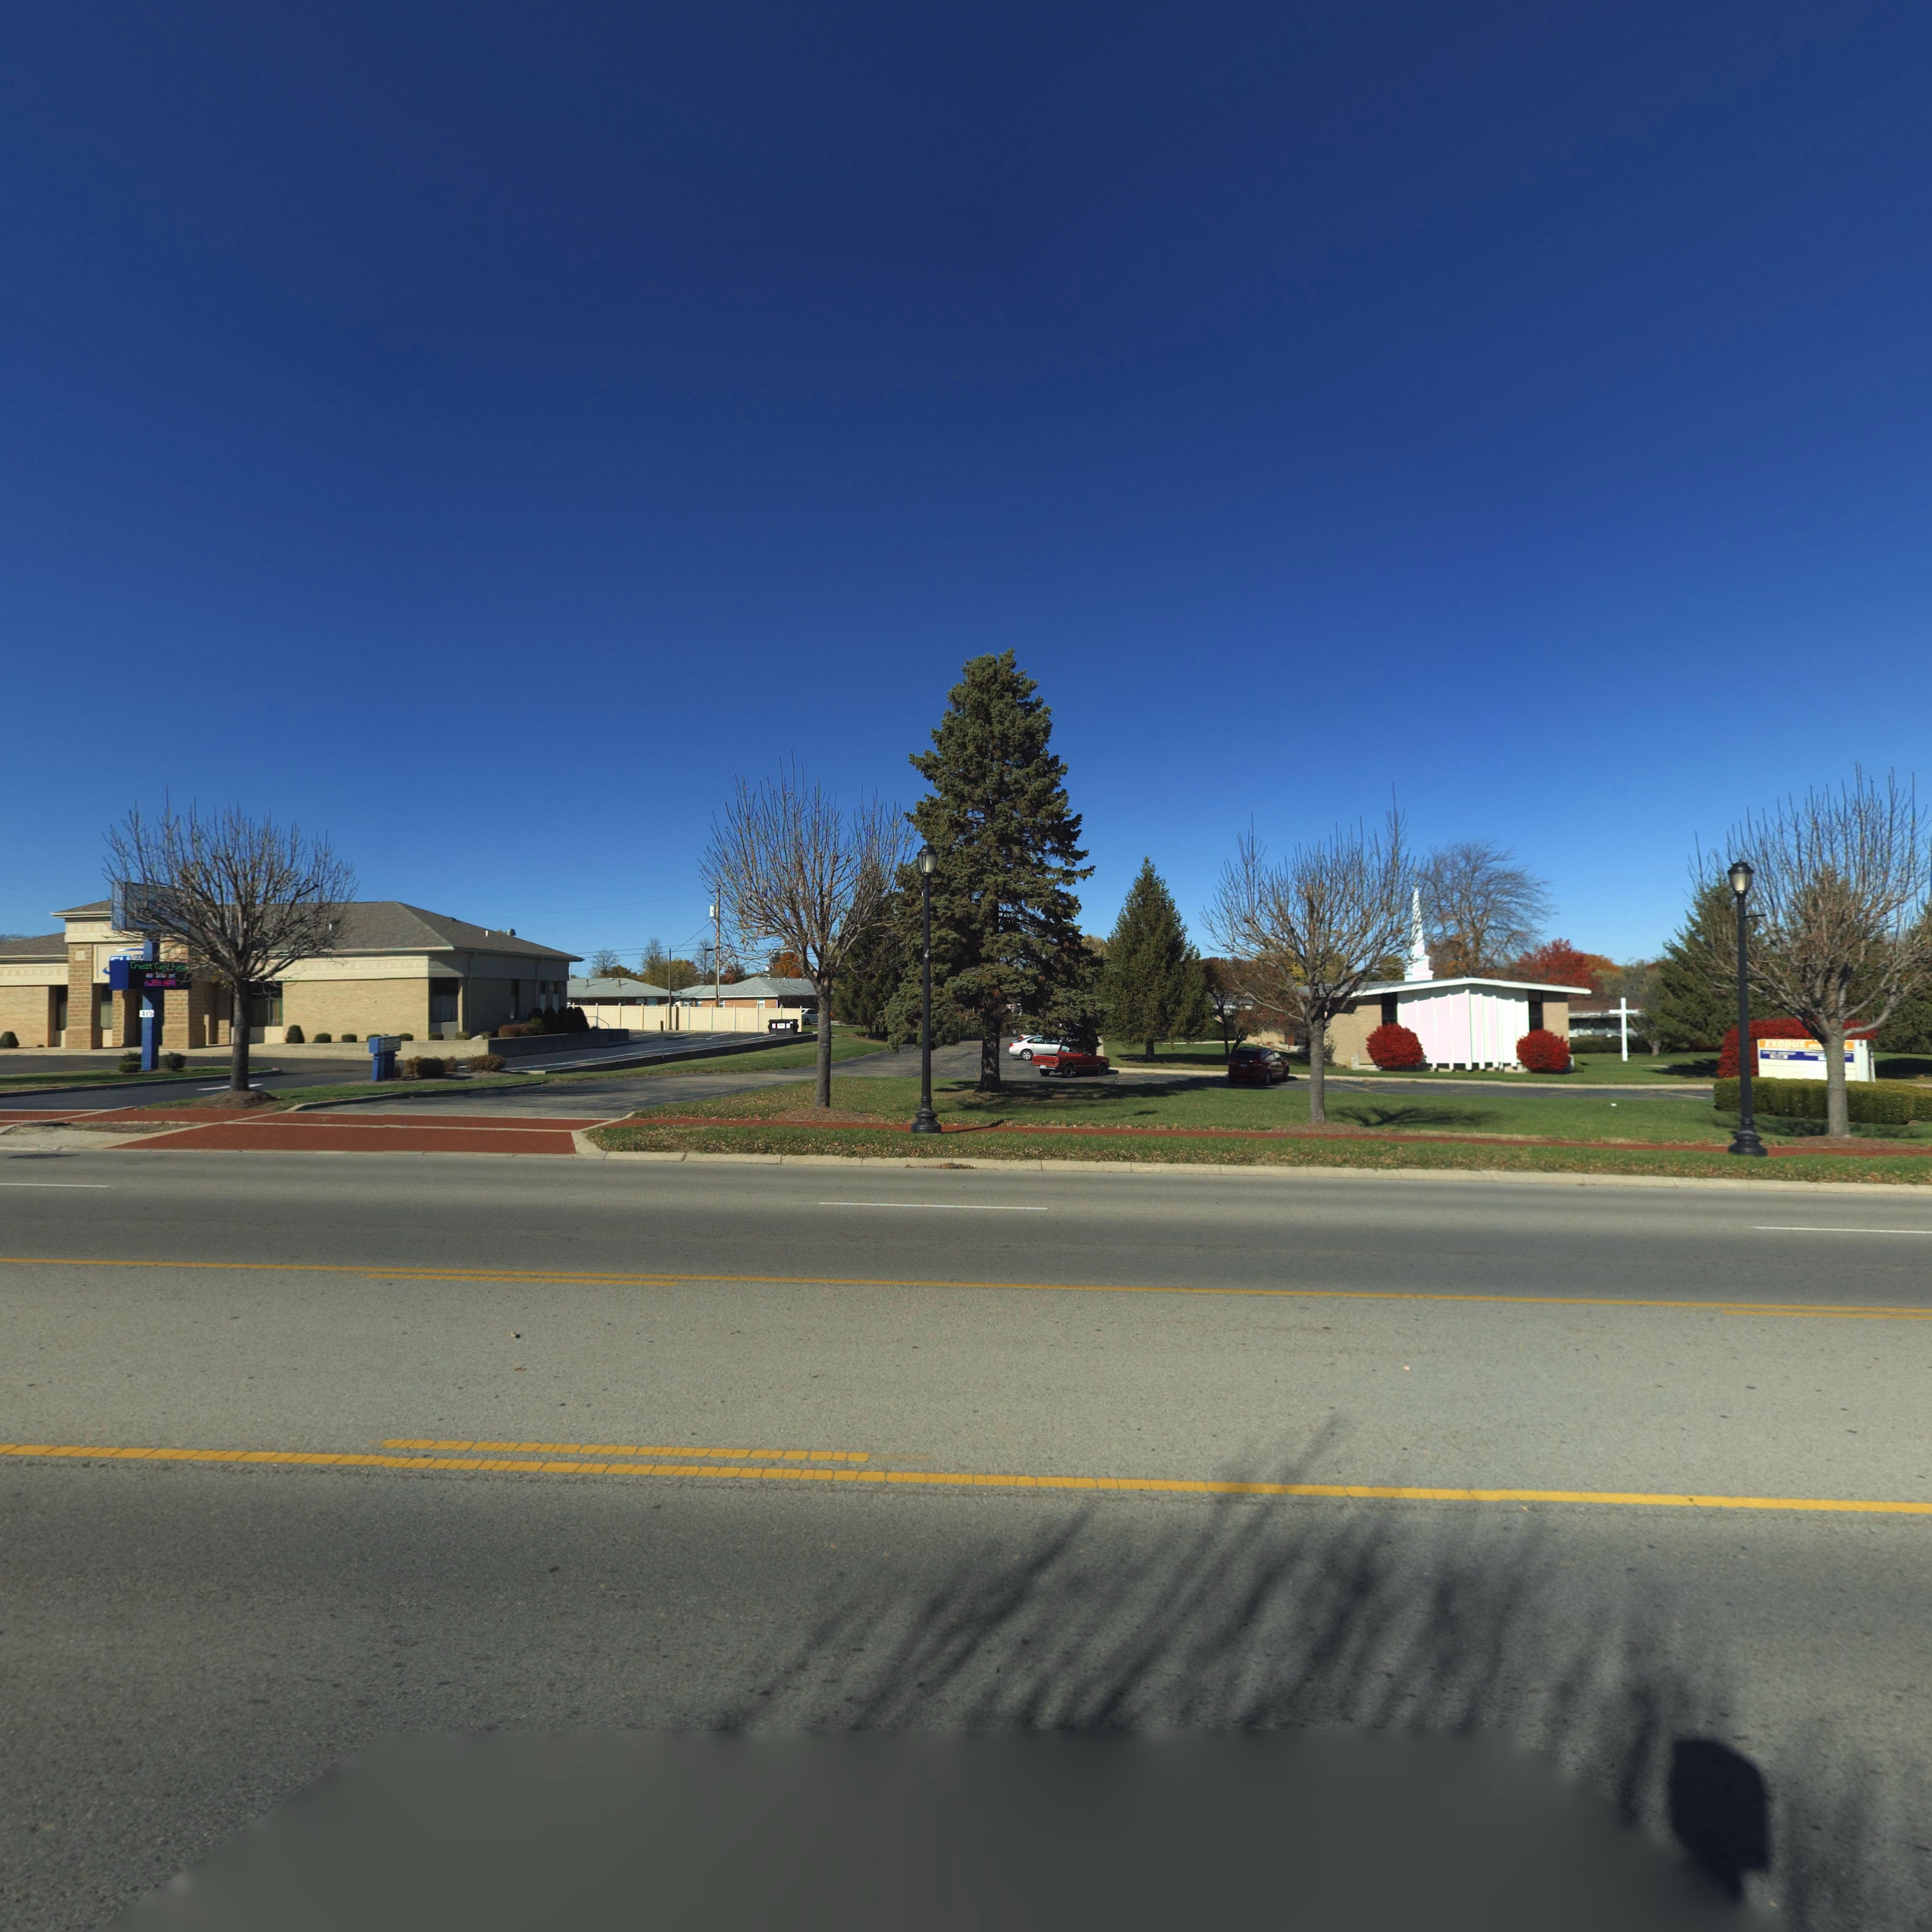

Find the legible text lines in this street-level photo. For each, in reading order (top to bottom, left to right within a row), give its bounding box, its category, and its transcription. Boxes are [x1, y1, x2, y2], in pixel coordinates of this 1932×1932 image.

[145, 972, 154, 979] None: as
[141, 1009, 153, 1018] StreetNumber: *1*
[1763, 1040, 1807, 1049] BusinessName: EXODUS